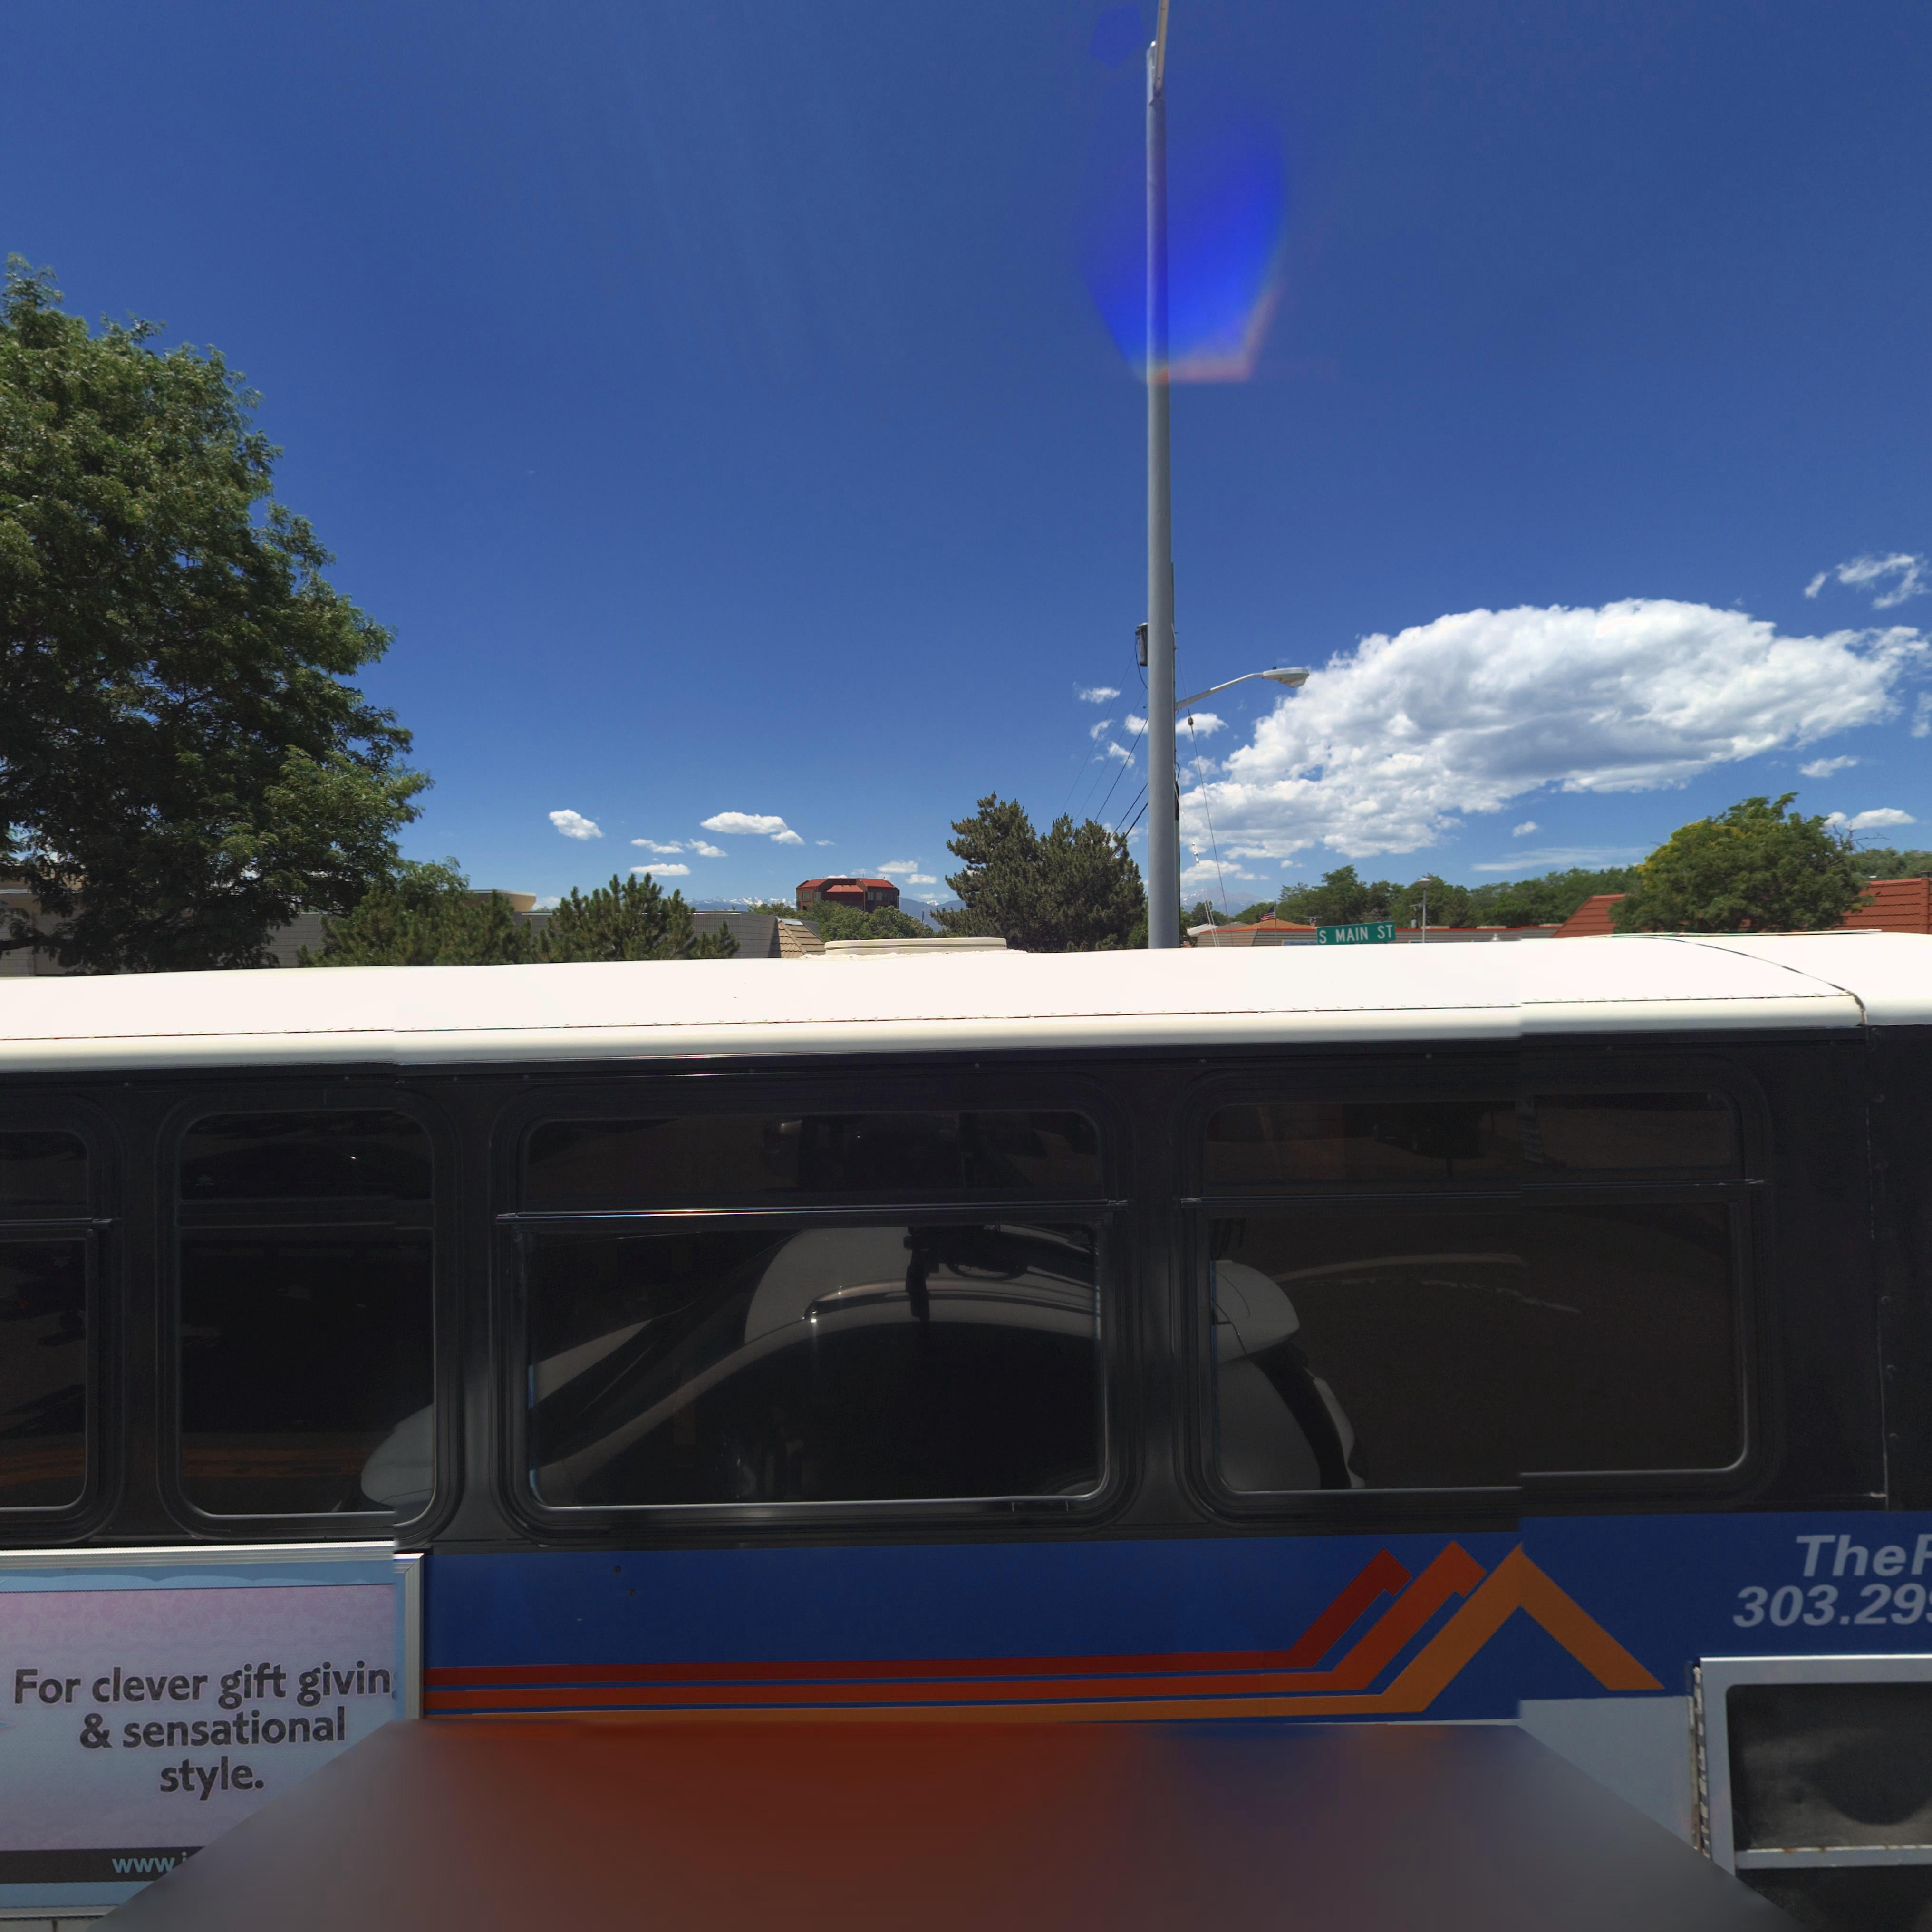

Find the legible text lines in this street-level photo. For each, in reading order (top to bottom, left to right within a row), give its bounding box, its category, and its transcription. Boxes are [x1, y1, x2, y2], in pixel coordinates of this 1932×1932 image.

[1318, 924, 1392, 944] StreetName: S MAIN ST